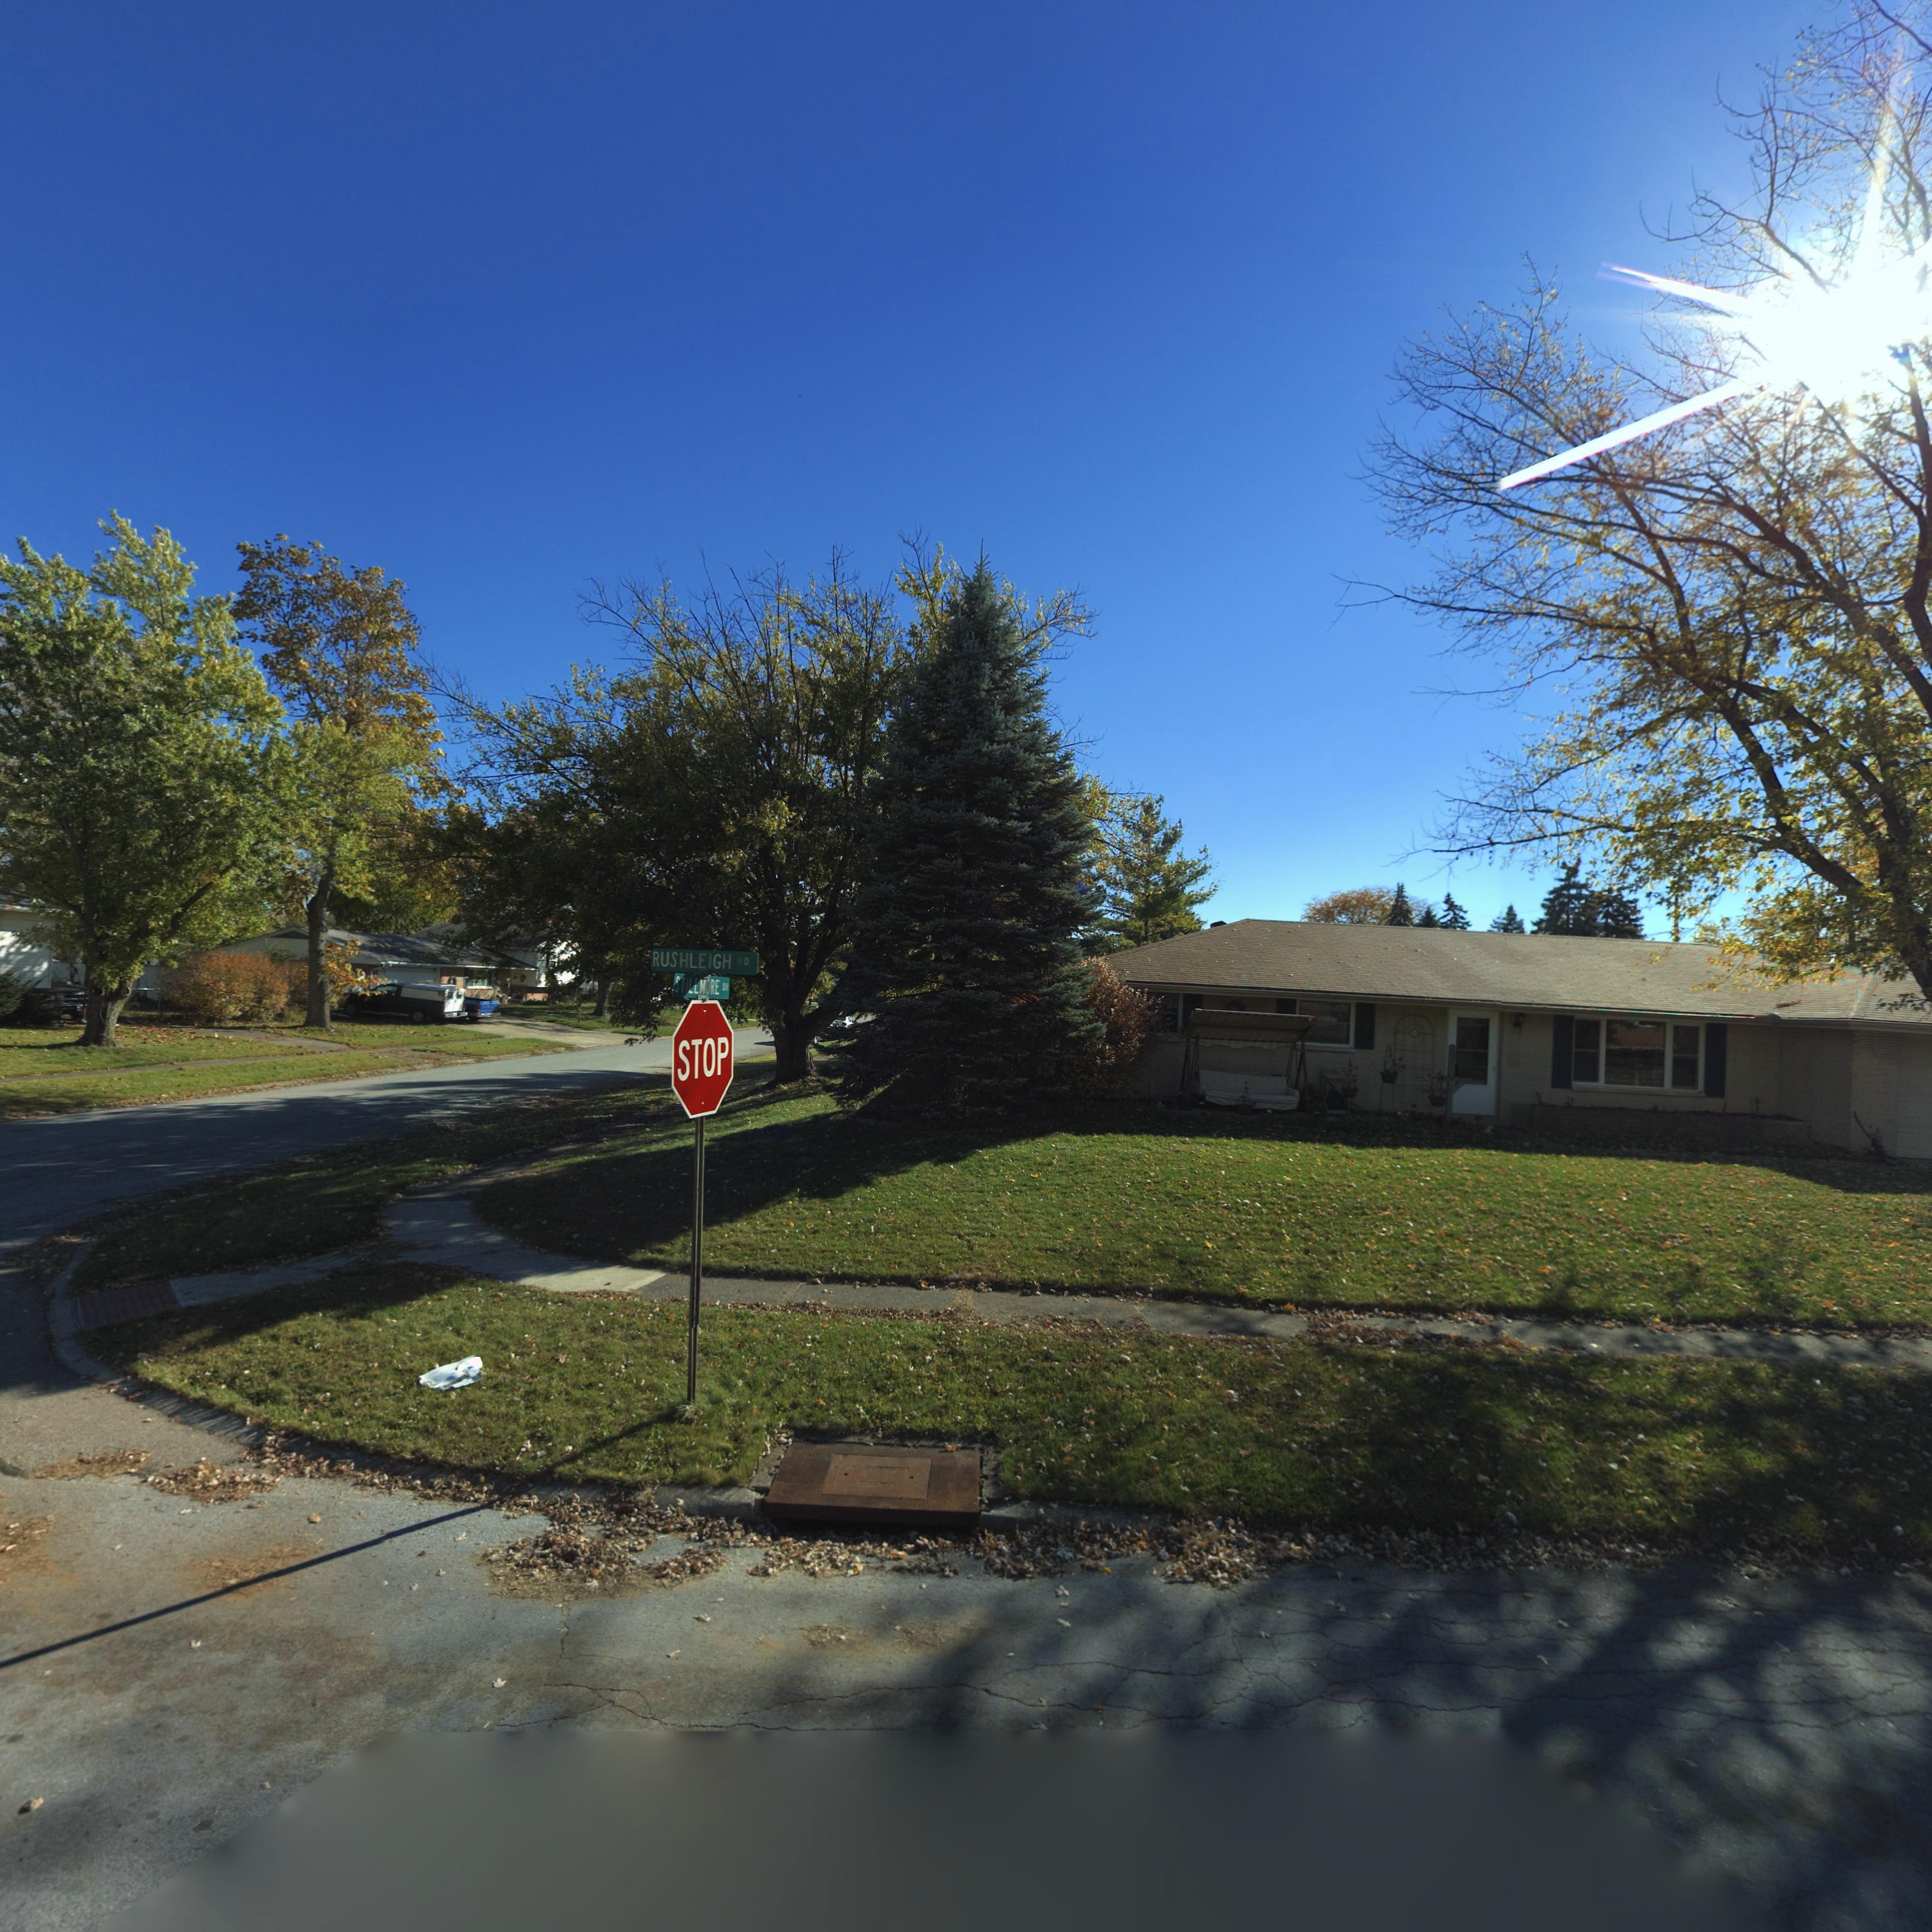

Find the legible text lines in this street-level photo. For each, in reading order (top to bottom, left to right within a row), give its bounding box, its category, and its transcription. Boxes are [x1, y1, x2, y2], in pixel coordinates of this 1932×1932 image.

[651, 949, 751, 971] StreetName: RUSHLEIGH RD
[673, 975, 729, 996] StreetName: STILLMORE DR
[1449, 1045, 1456, 1076] StreetNumber: ***1